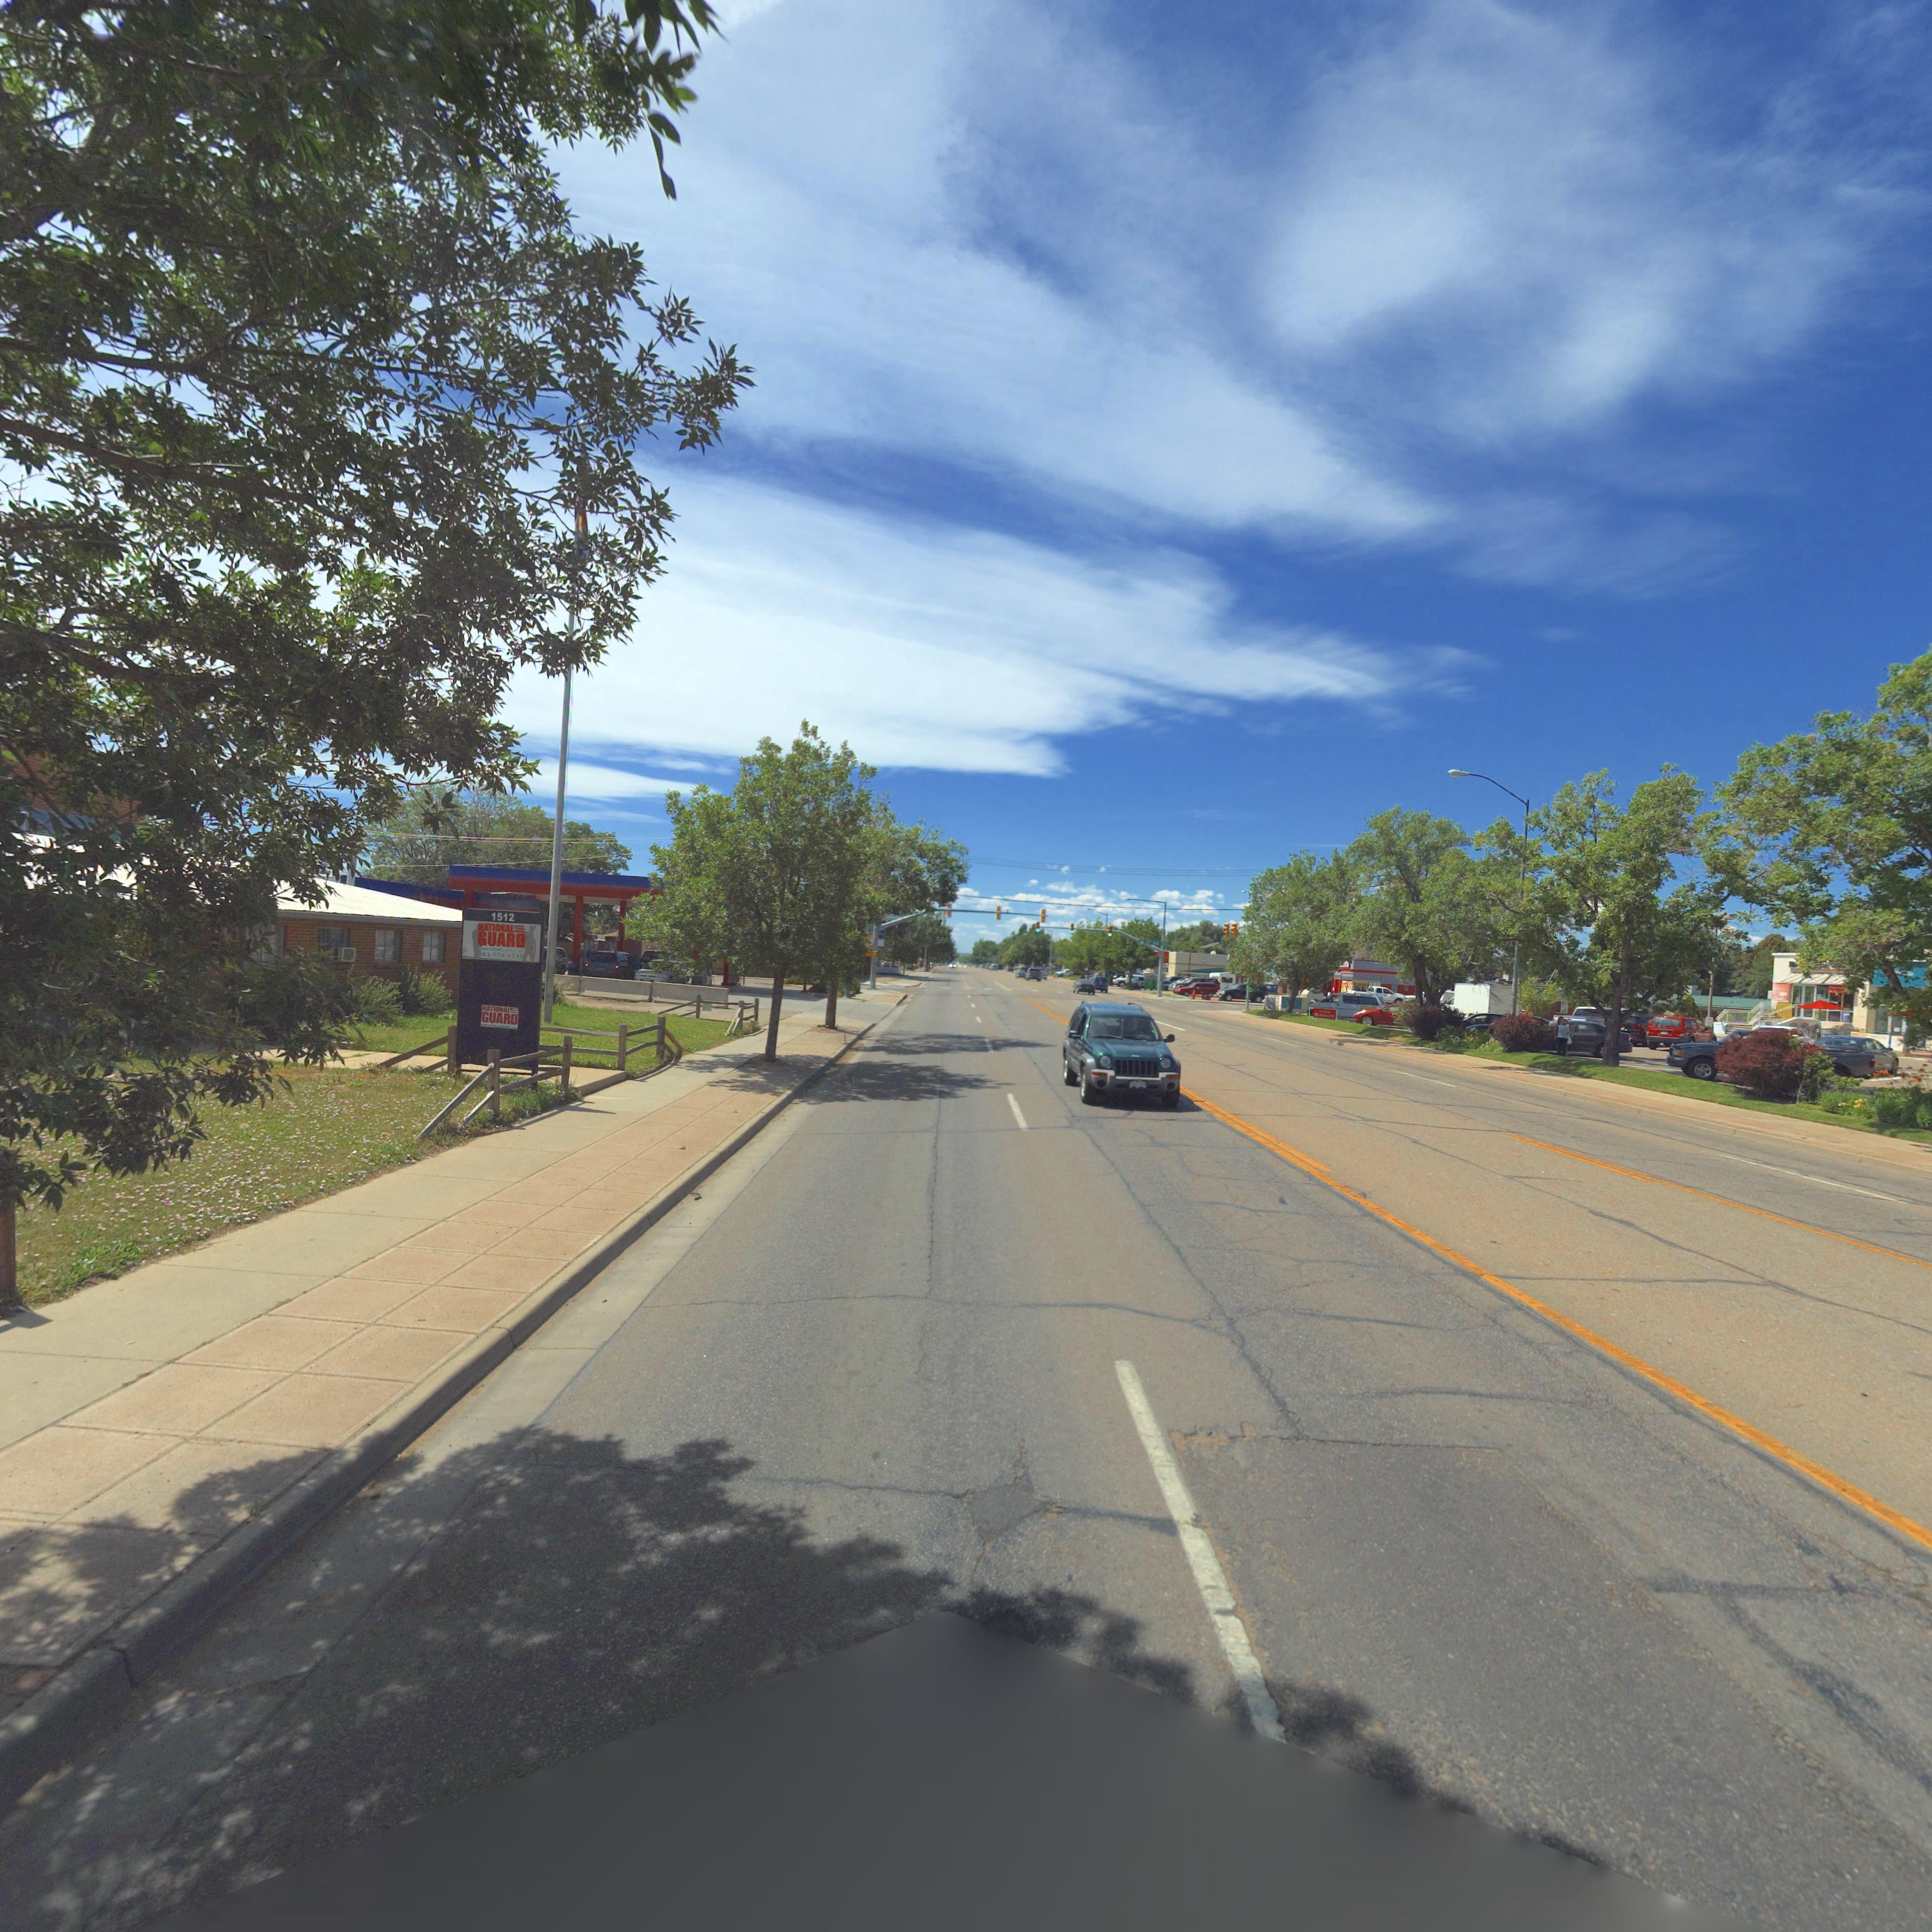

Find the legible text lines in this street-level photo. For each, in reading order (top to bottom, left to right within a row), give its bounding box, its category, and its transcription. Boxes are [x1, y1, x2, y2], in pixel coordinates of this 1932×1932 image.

[491, 912, 514, 922] StreetNumber: 1512
[478, 922, 514, 932] BusinessName: NATIONAL
[477, 931, 525, 948] BusinessName: GUARD
[1145, 940, 1159, 945] StreetName: 15** ***
[482, 1005, 510, 1013] BusinessName: NATIONAL
[481, 1011, 518, 1024] BusinessName: GUARD